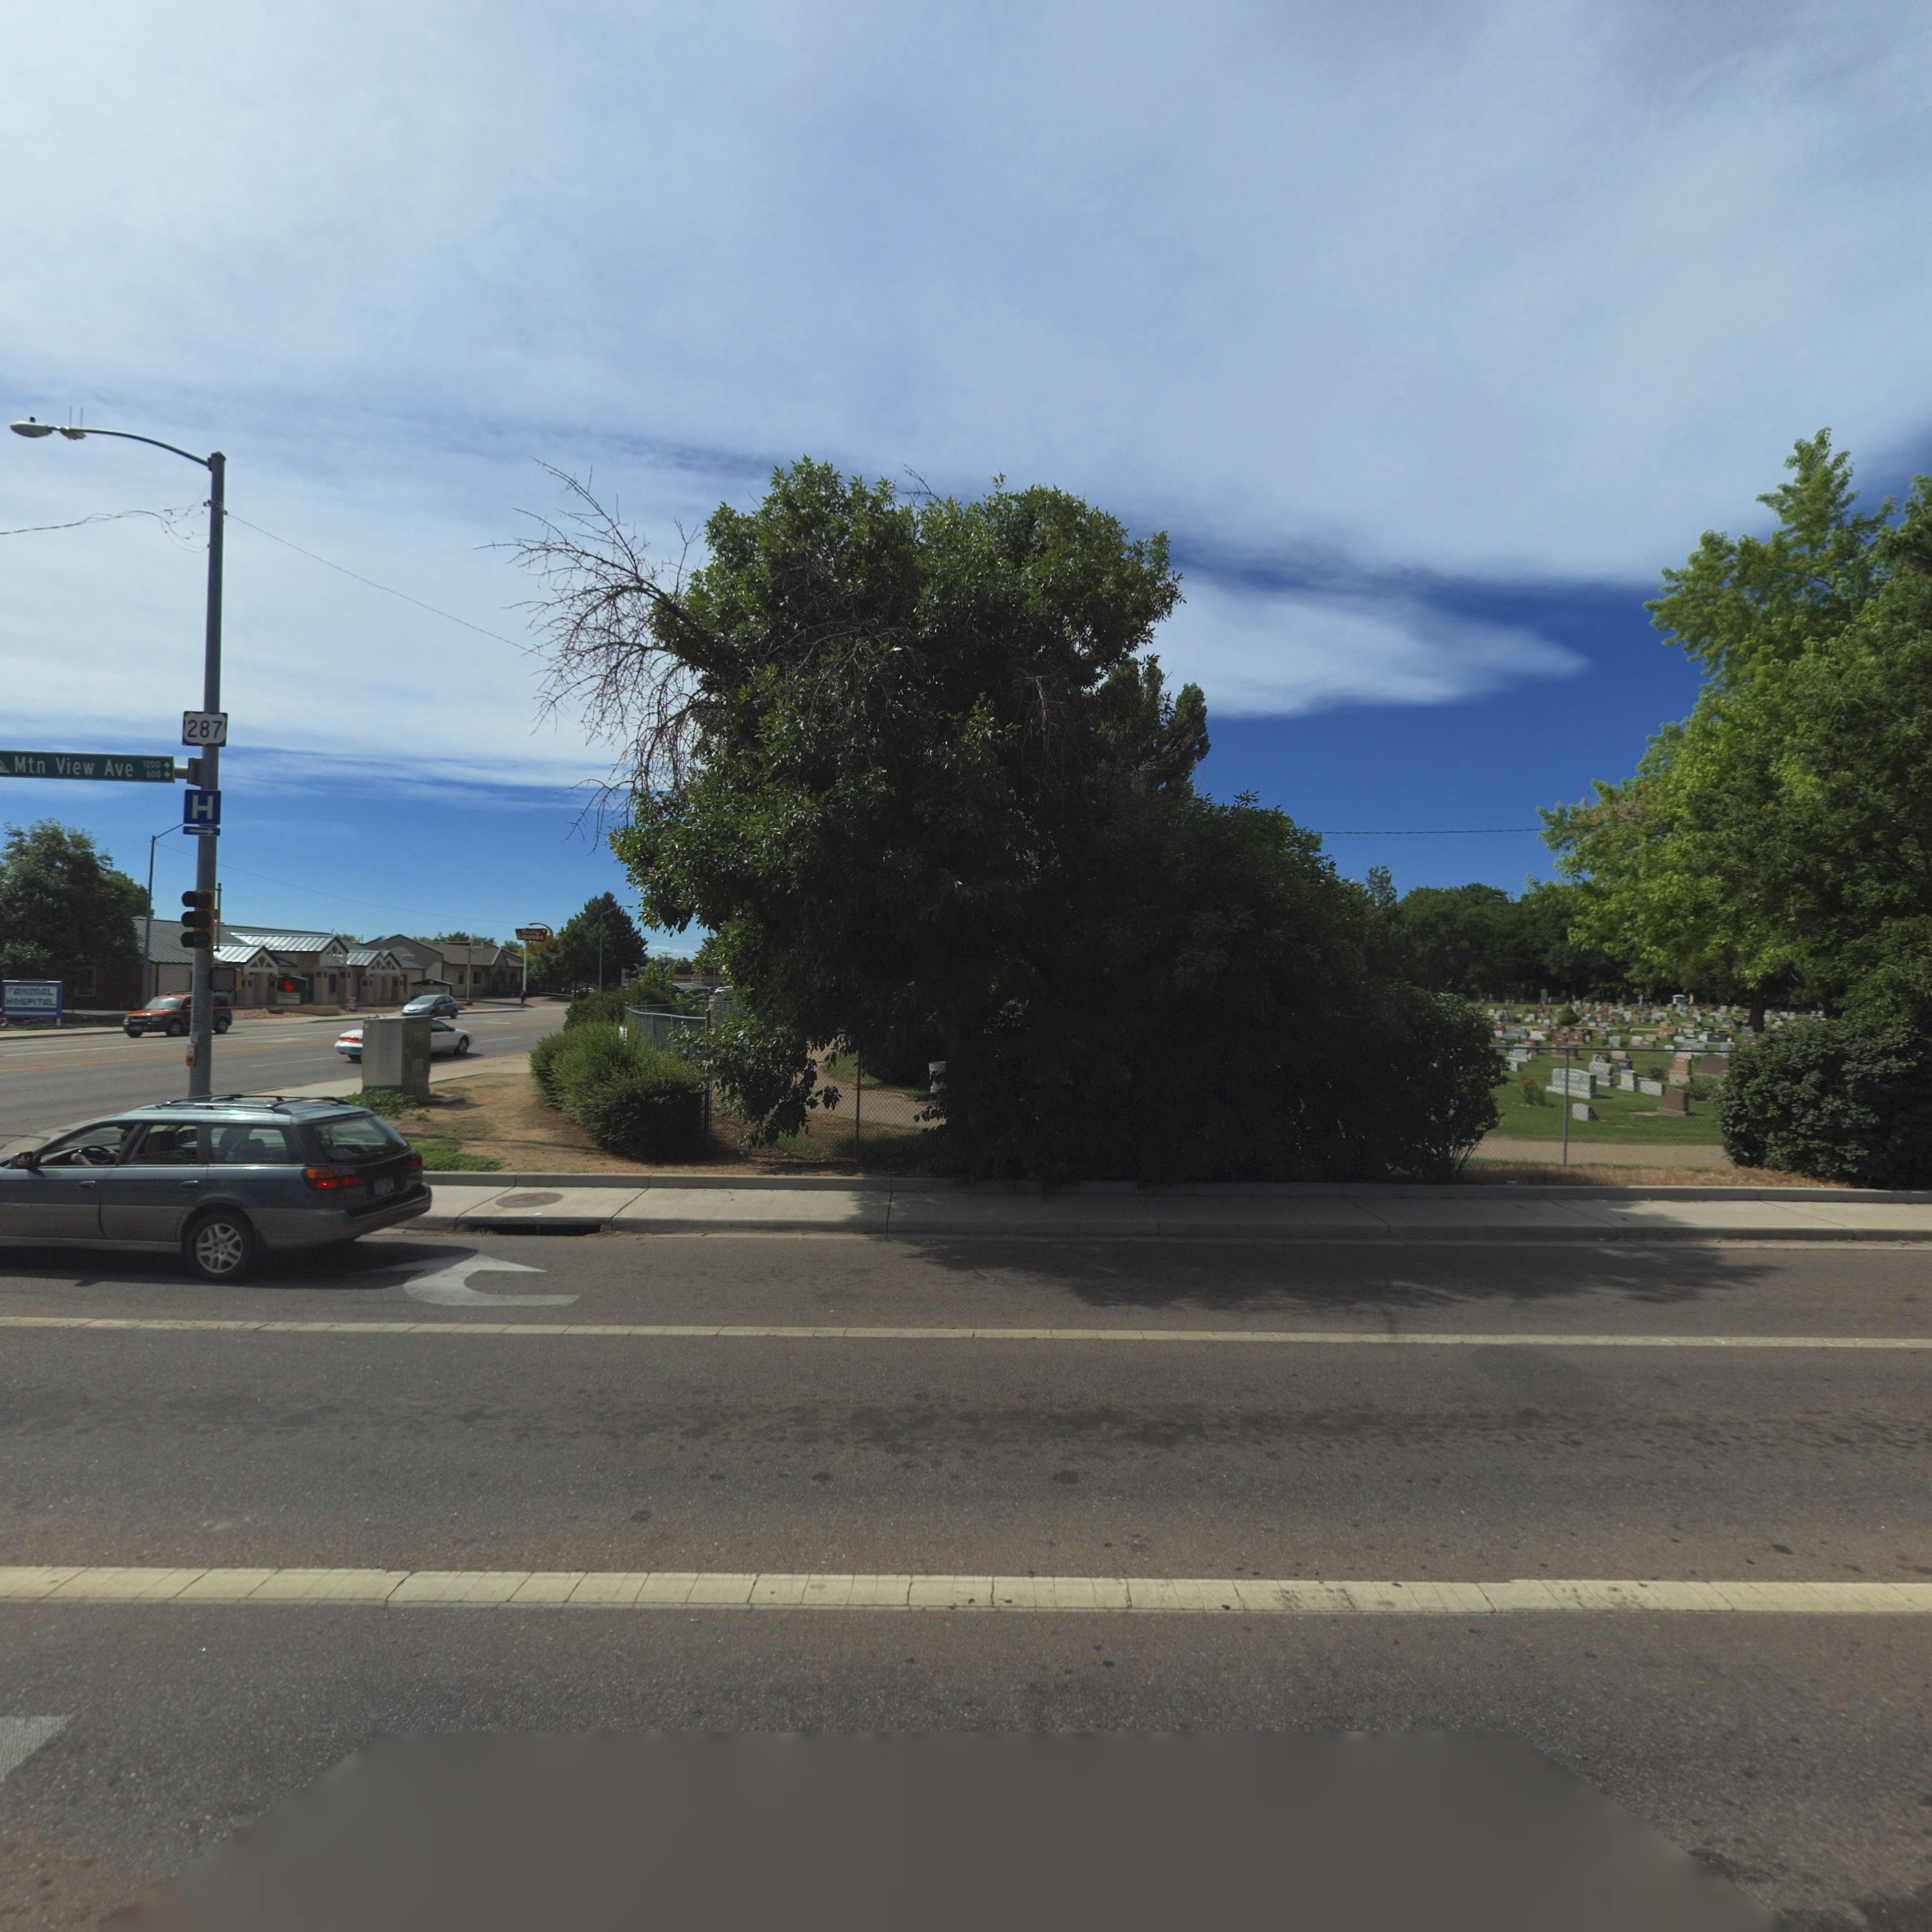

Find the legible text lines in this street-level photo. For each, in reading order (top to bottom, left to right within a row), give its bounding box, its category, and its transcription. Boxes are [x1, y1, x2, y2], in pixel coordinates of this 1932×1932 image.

[14, 755, 134, 777] StreetName: Mtn View Ave
[142, 760, 161, 768] StreetNumberRange: 1200
[145, 769, 173, 779] StreetNumberRange: 600->
[517, 931, 544, 940] BusinessName: LI**O*S
[13, 988, 54, 995] BusinessName: A*IM*L
[5, 997, 57, 1006] BusinessName: HOSPITAL